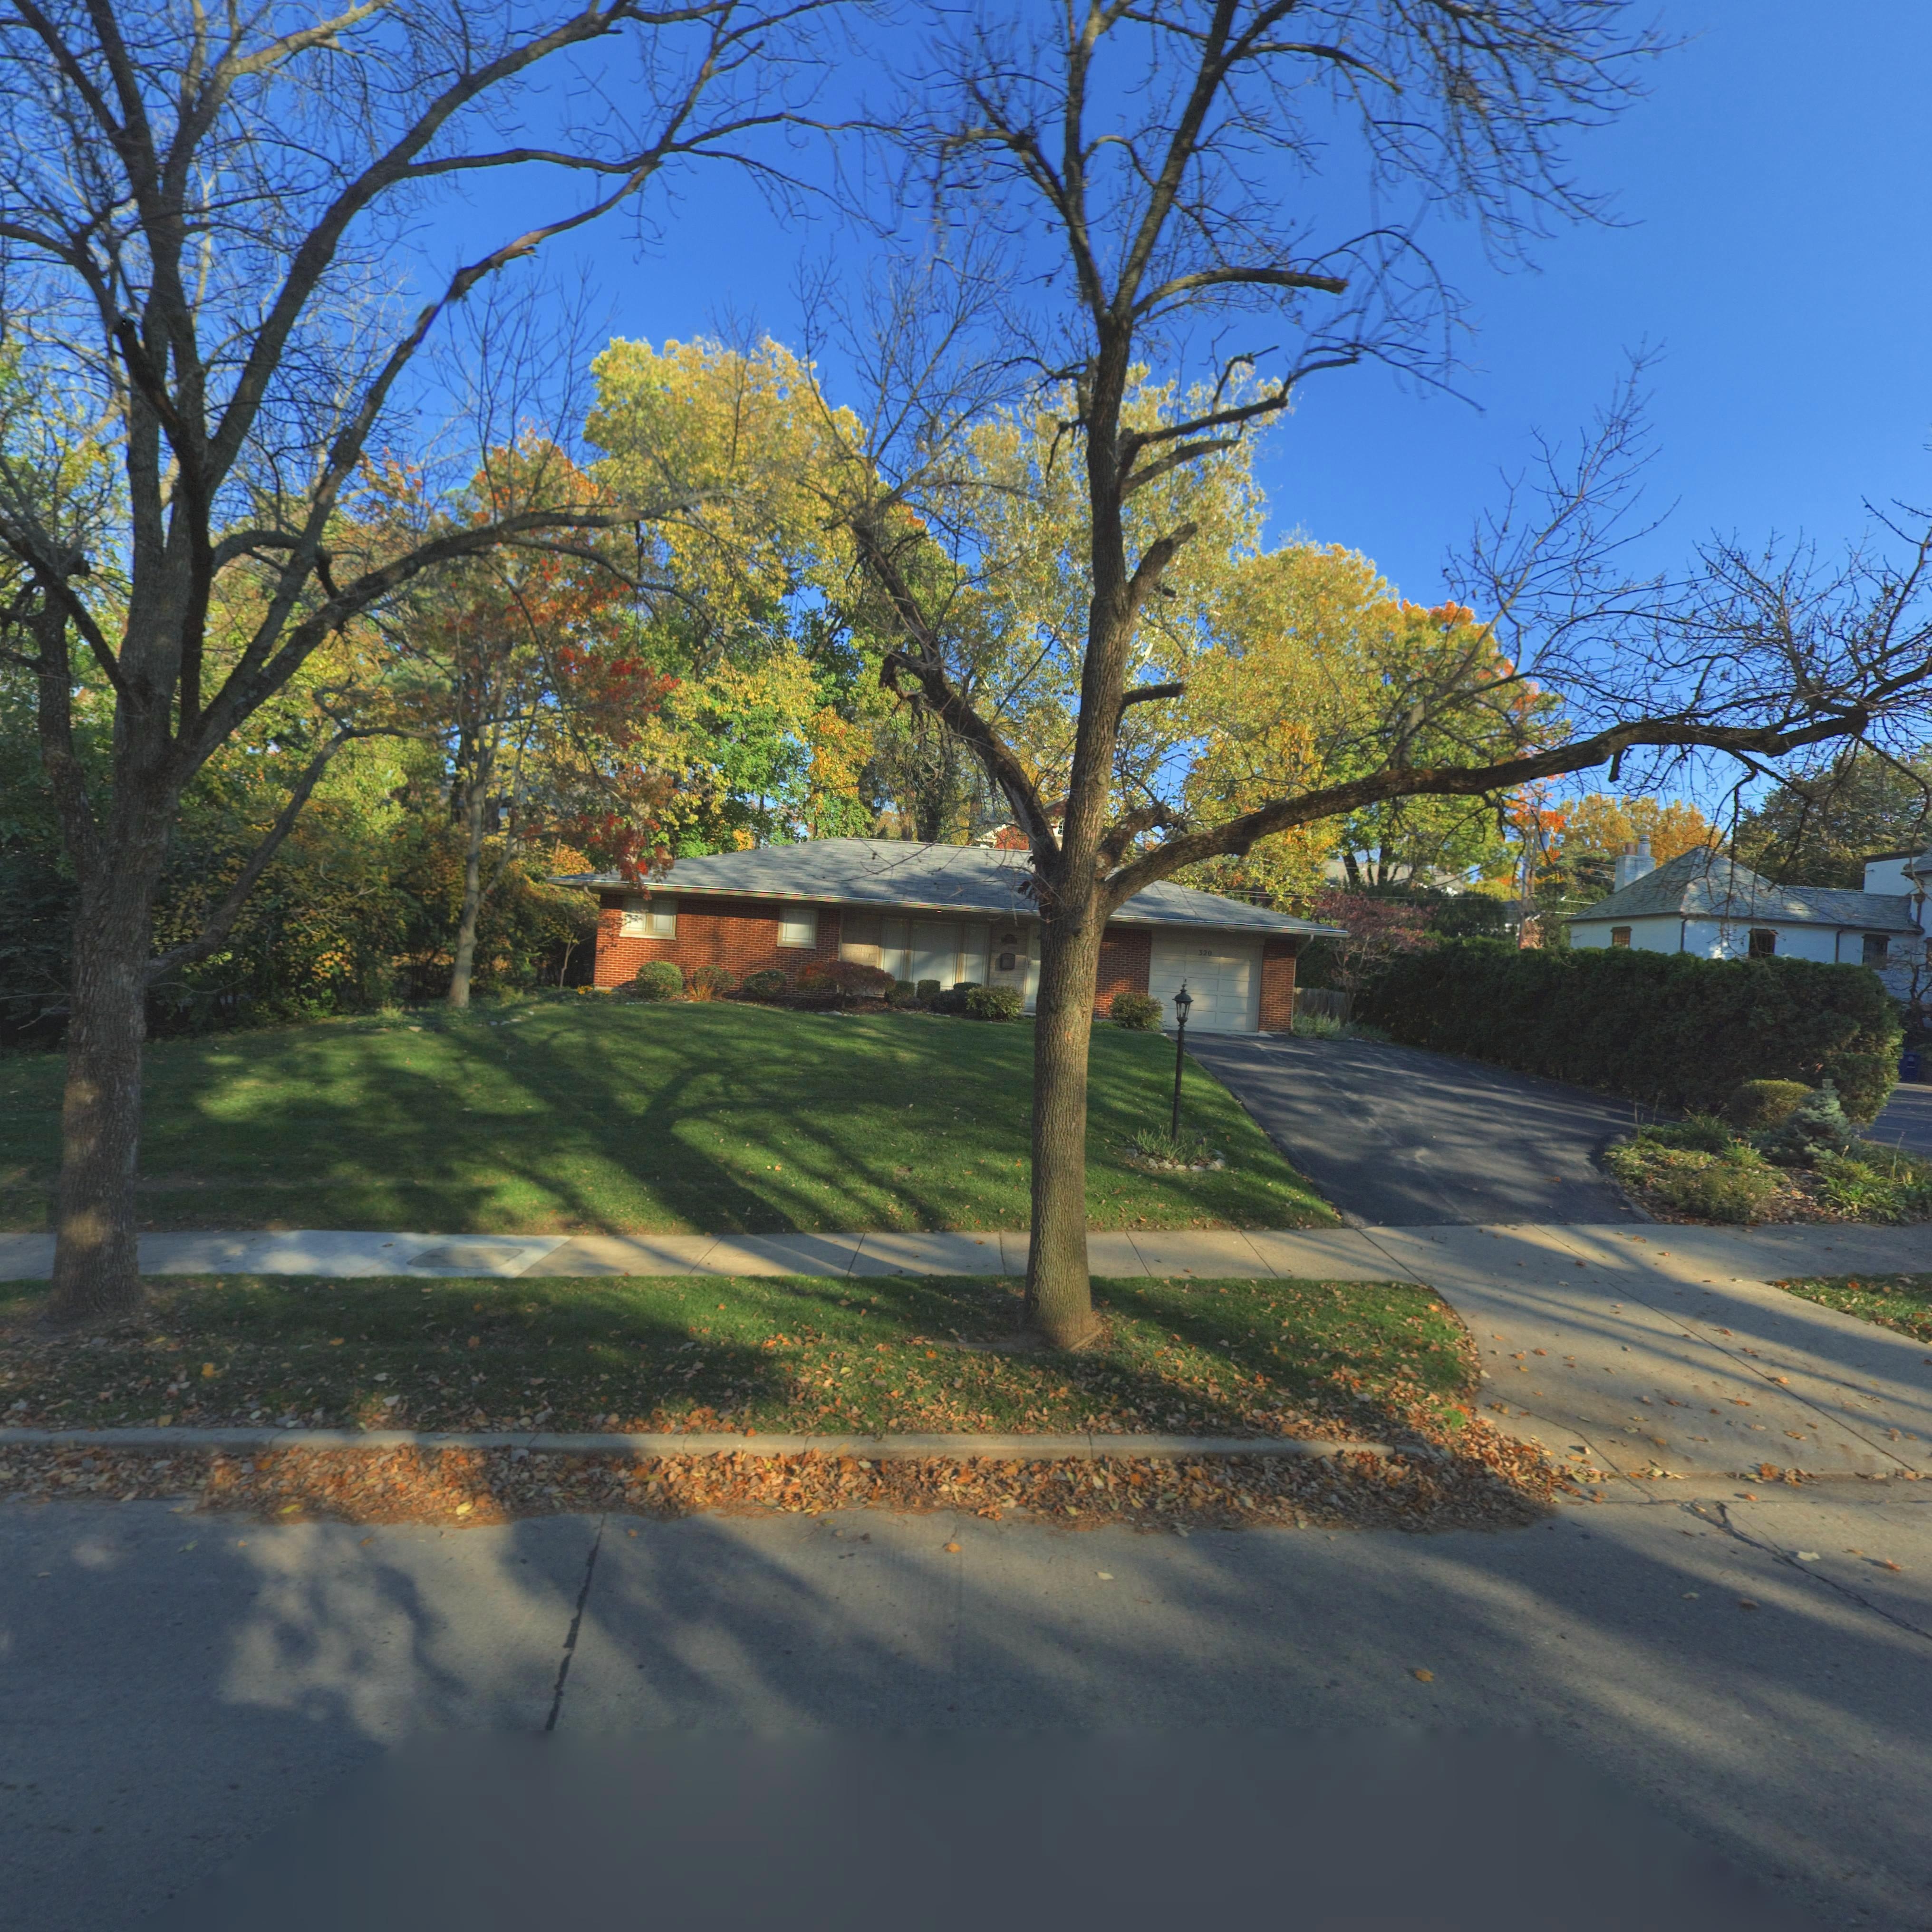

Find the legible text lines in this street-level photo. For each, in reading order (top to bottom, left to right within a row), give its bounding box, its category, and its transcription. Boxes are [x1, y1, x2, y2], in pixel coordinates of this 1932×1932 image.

[1197, 948, 1214, 957] StreetNumber: 320